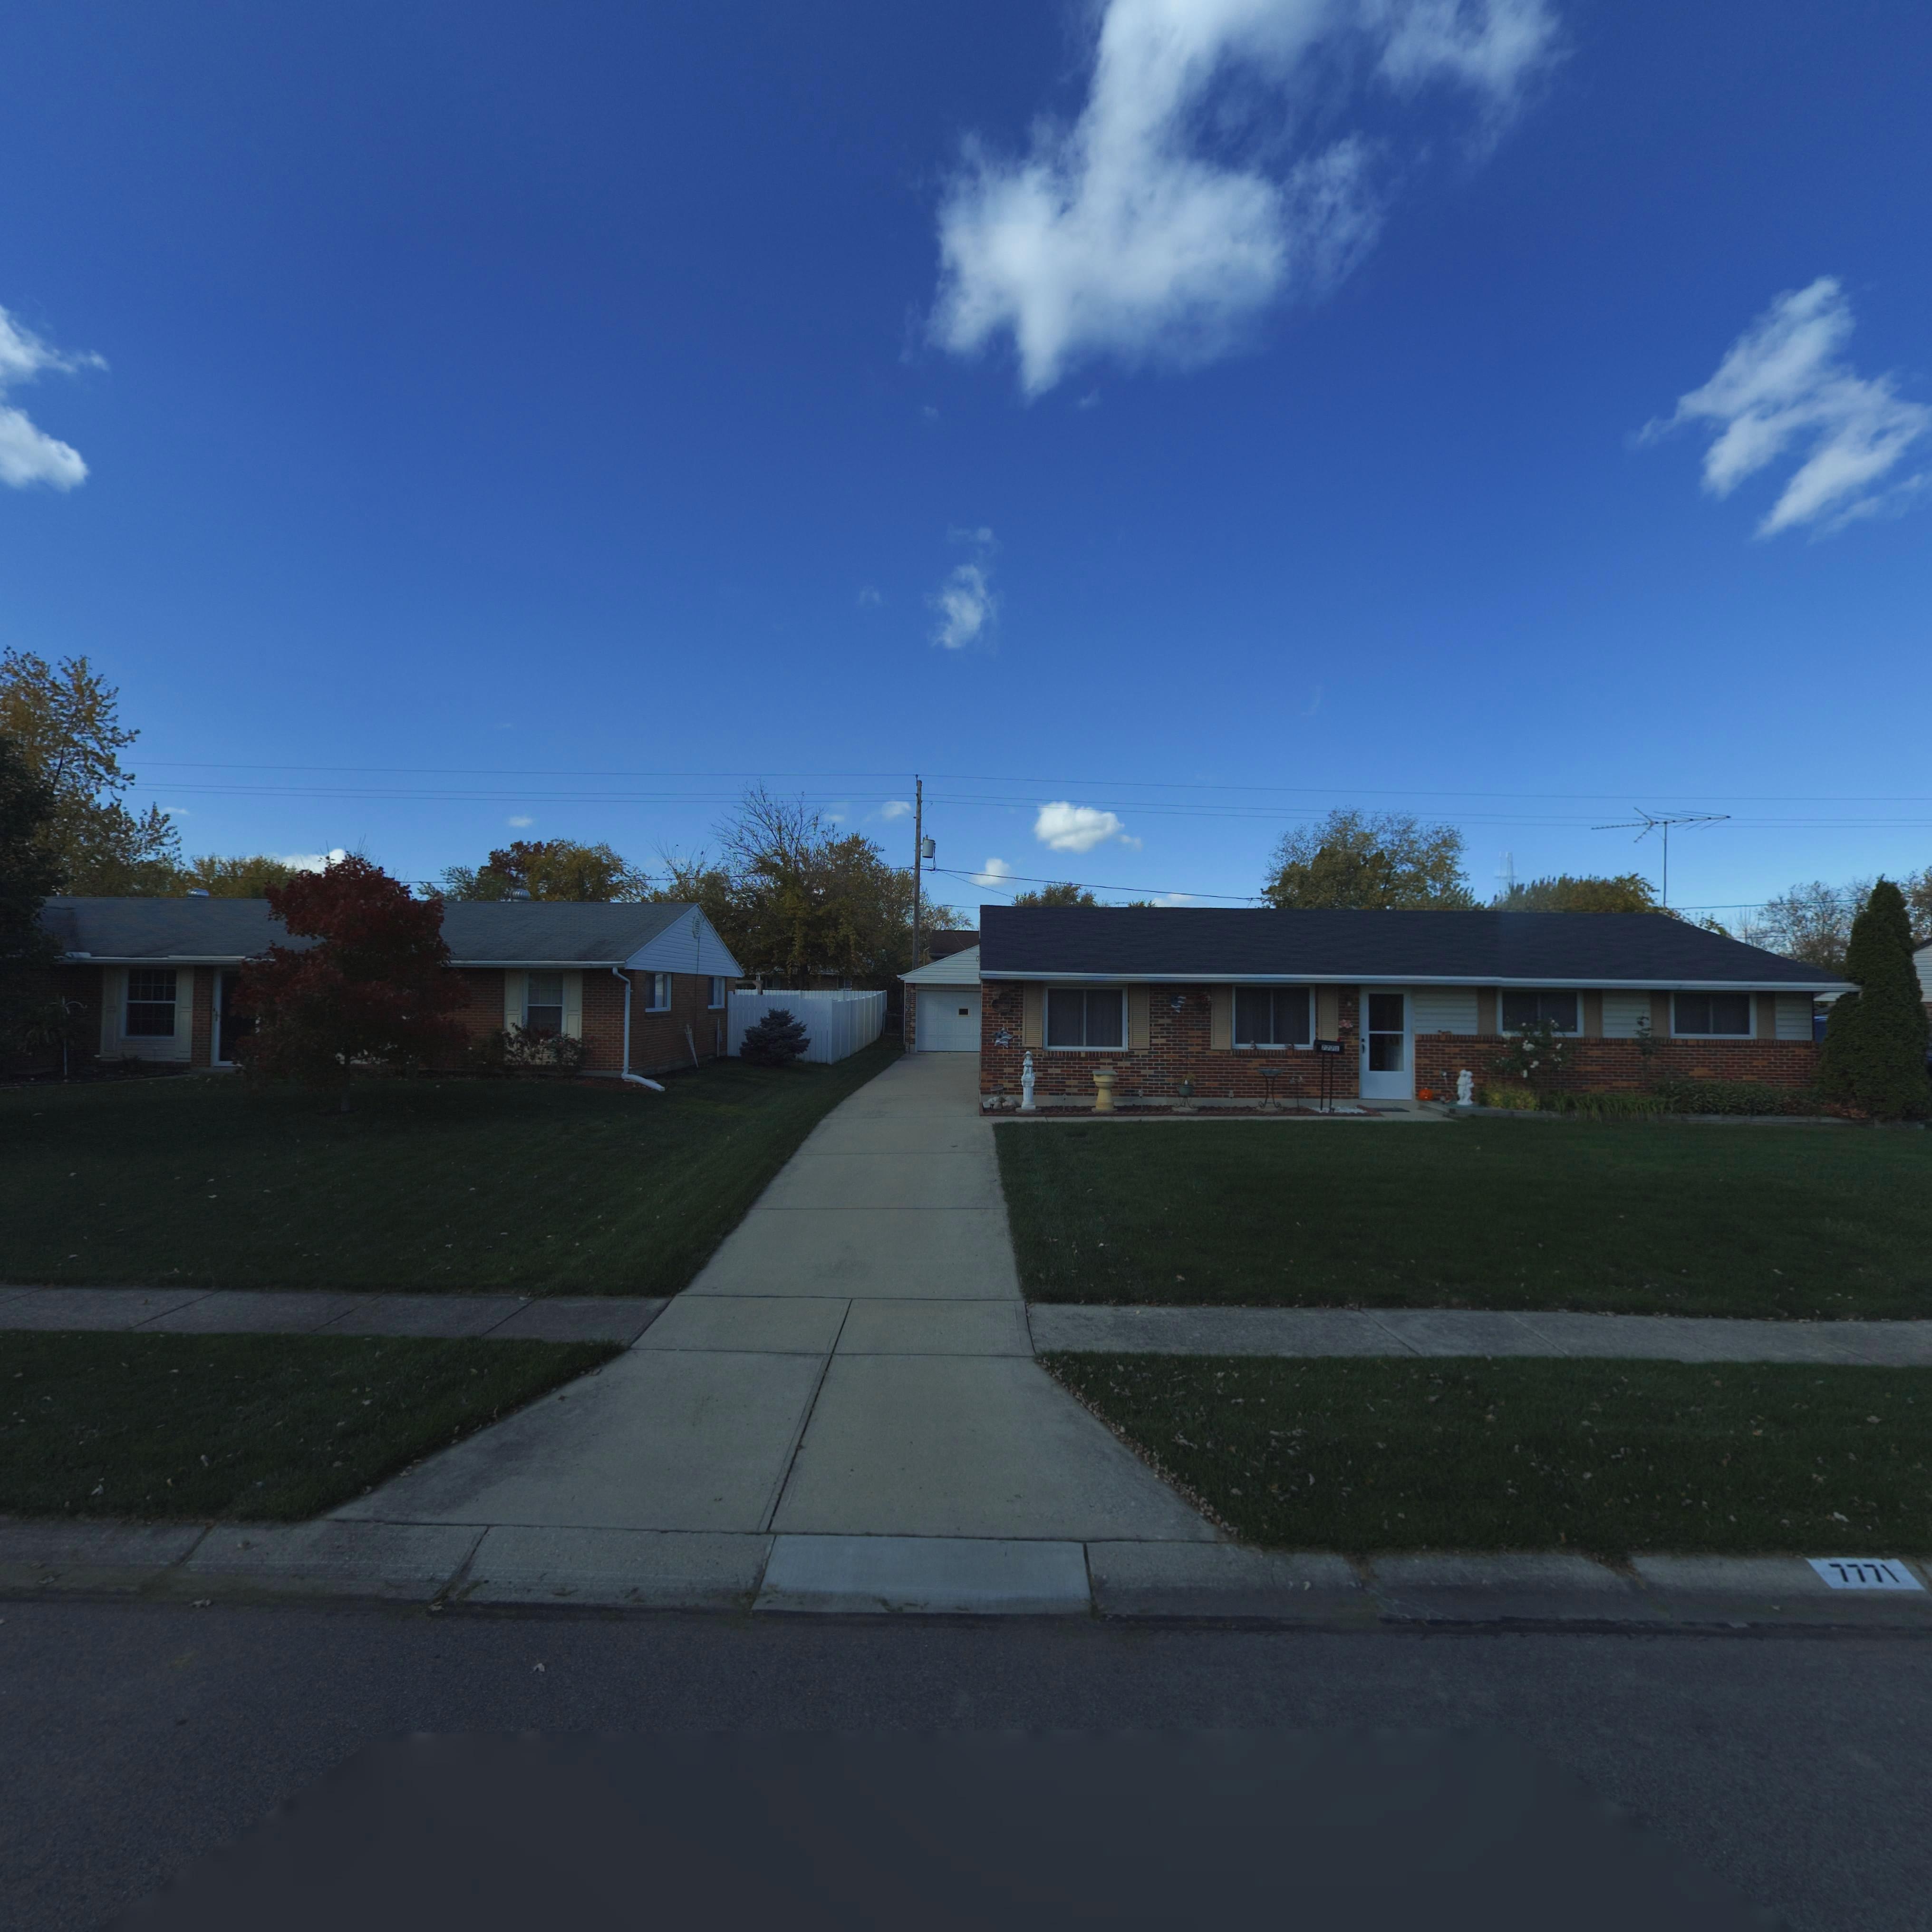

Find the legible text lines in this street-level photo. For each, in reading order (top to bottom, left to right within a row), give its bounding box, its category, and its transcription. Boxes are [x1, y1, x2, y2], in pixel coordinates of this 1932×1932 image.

[1321, 1044, 1339, 1052] StreetNumber: 7771
[1825, 1562, 1903, 1584] StreetNumber: 7771